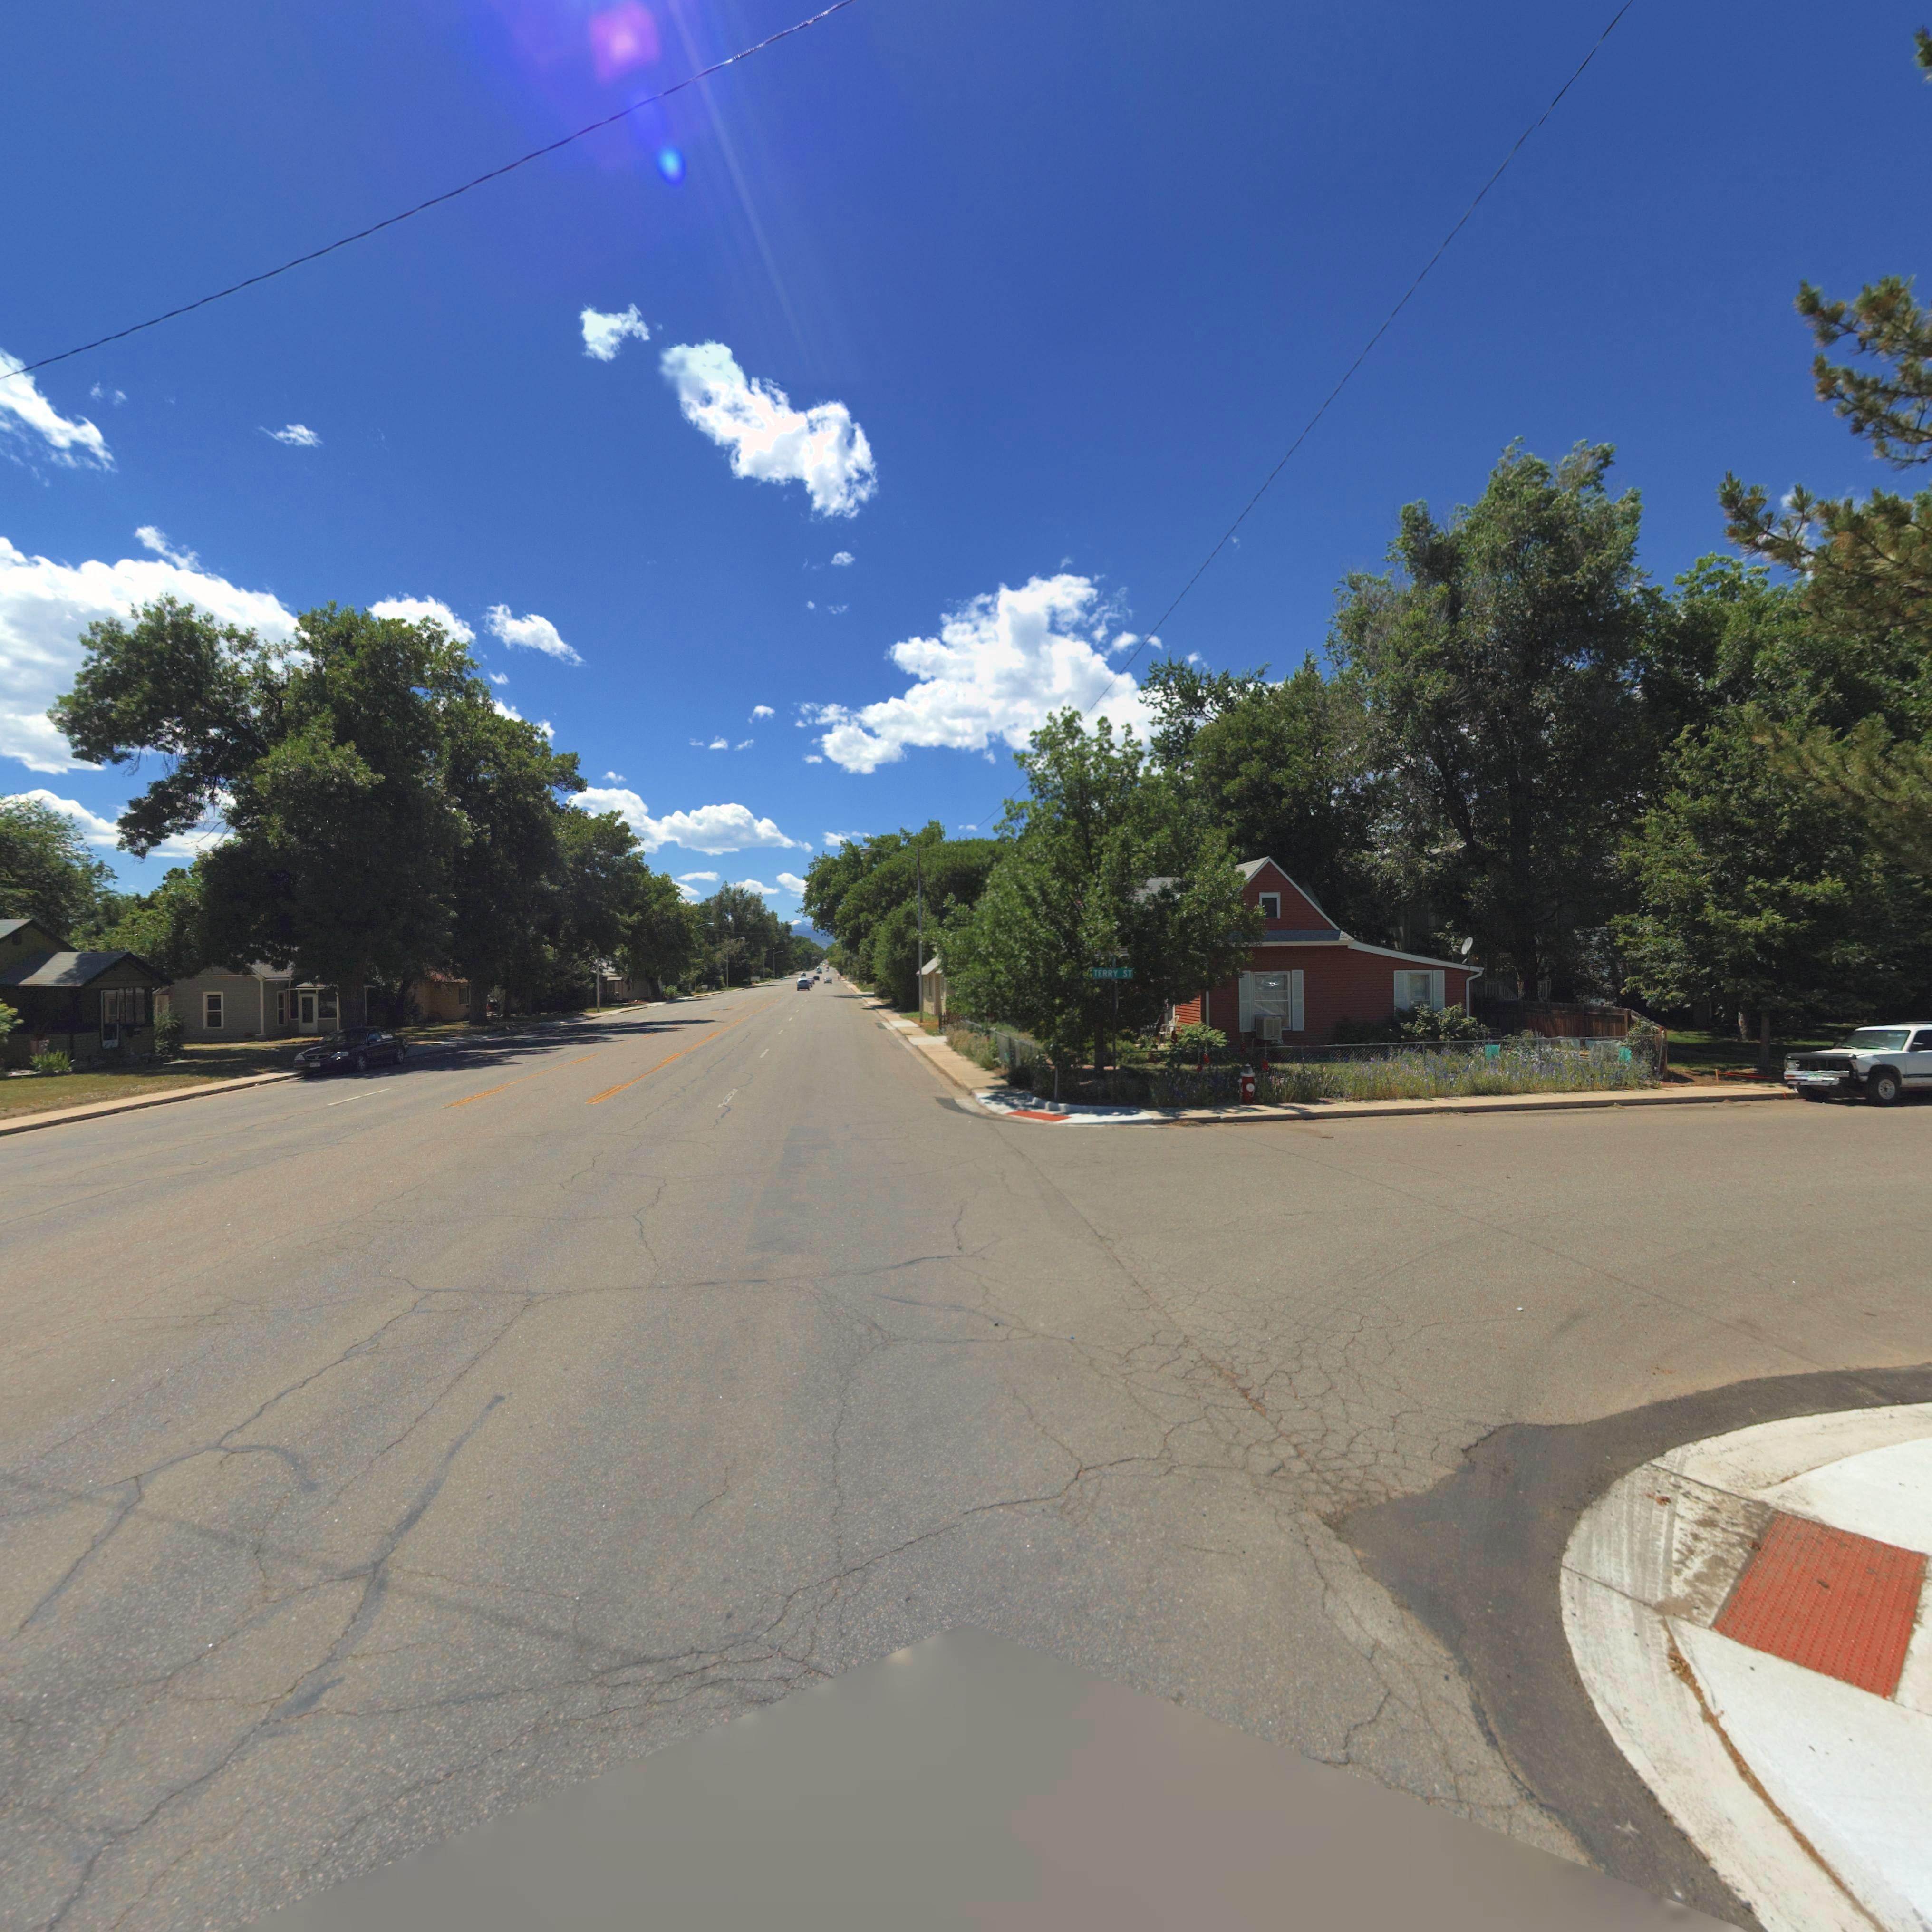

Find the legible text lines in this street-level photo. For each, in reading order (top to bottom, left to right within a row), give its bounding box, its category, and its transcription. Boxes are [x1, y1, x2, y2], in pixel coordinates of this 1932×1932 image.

[1093, 969, 1132, 977] StreetName: TERRY ST